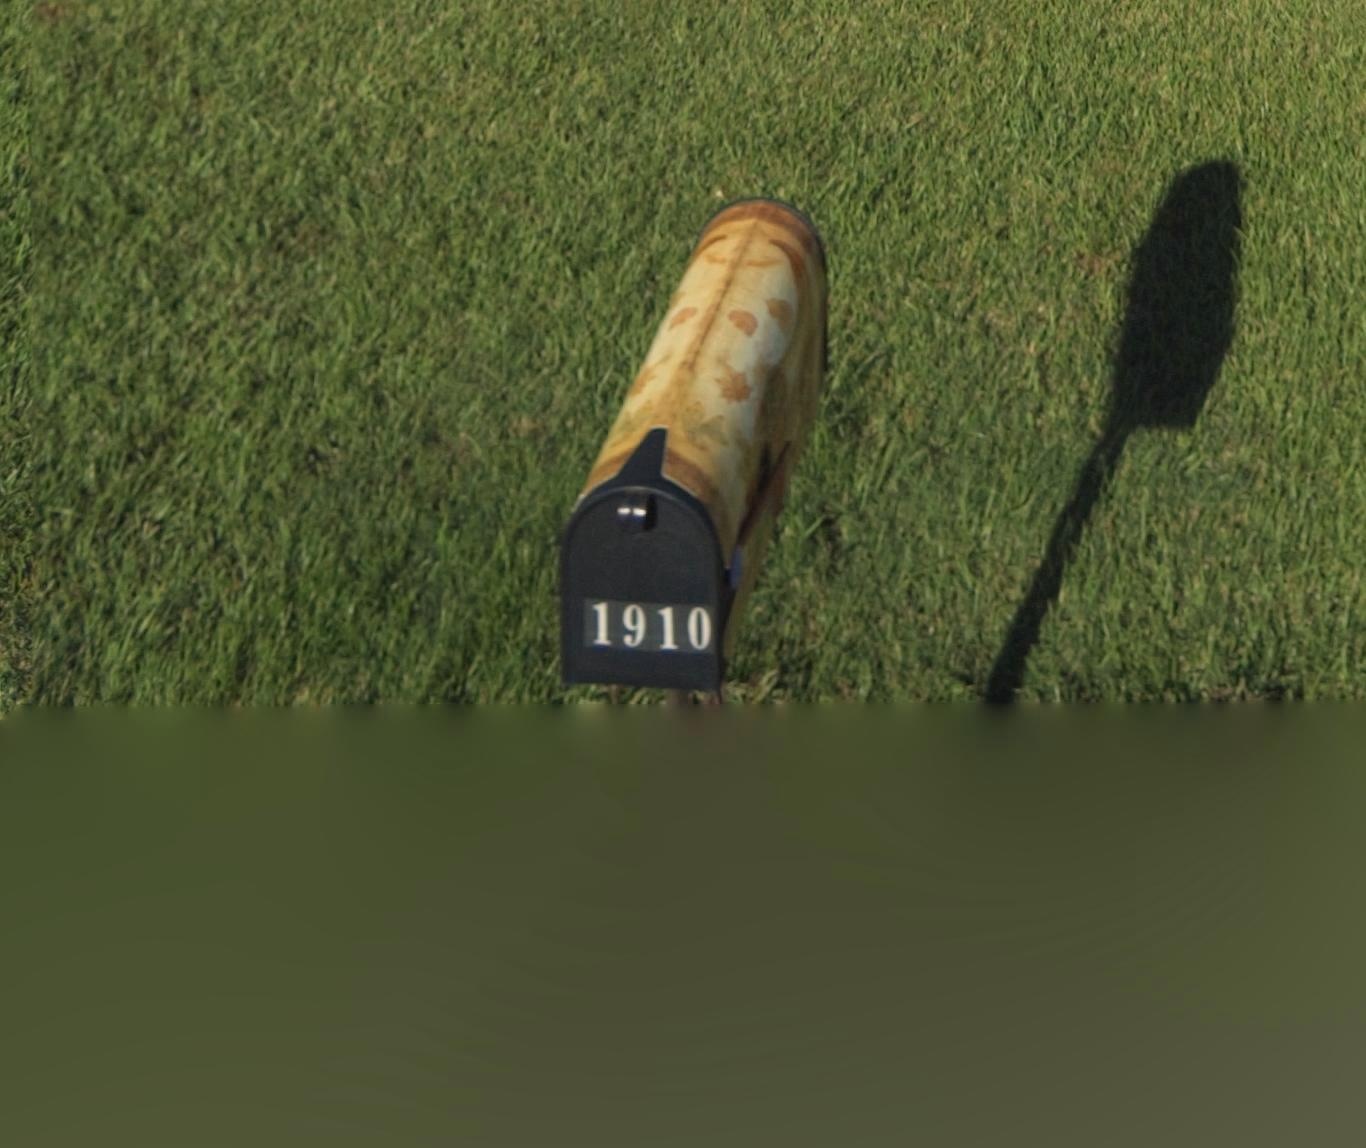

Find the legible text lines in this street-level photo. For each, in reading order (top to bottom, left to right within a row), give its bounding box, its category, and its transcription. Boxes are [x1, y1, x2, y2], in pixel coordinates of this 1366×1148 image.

[587, 598, 716, 655] StreetNumber: 1910